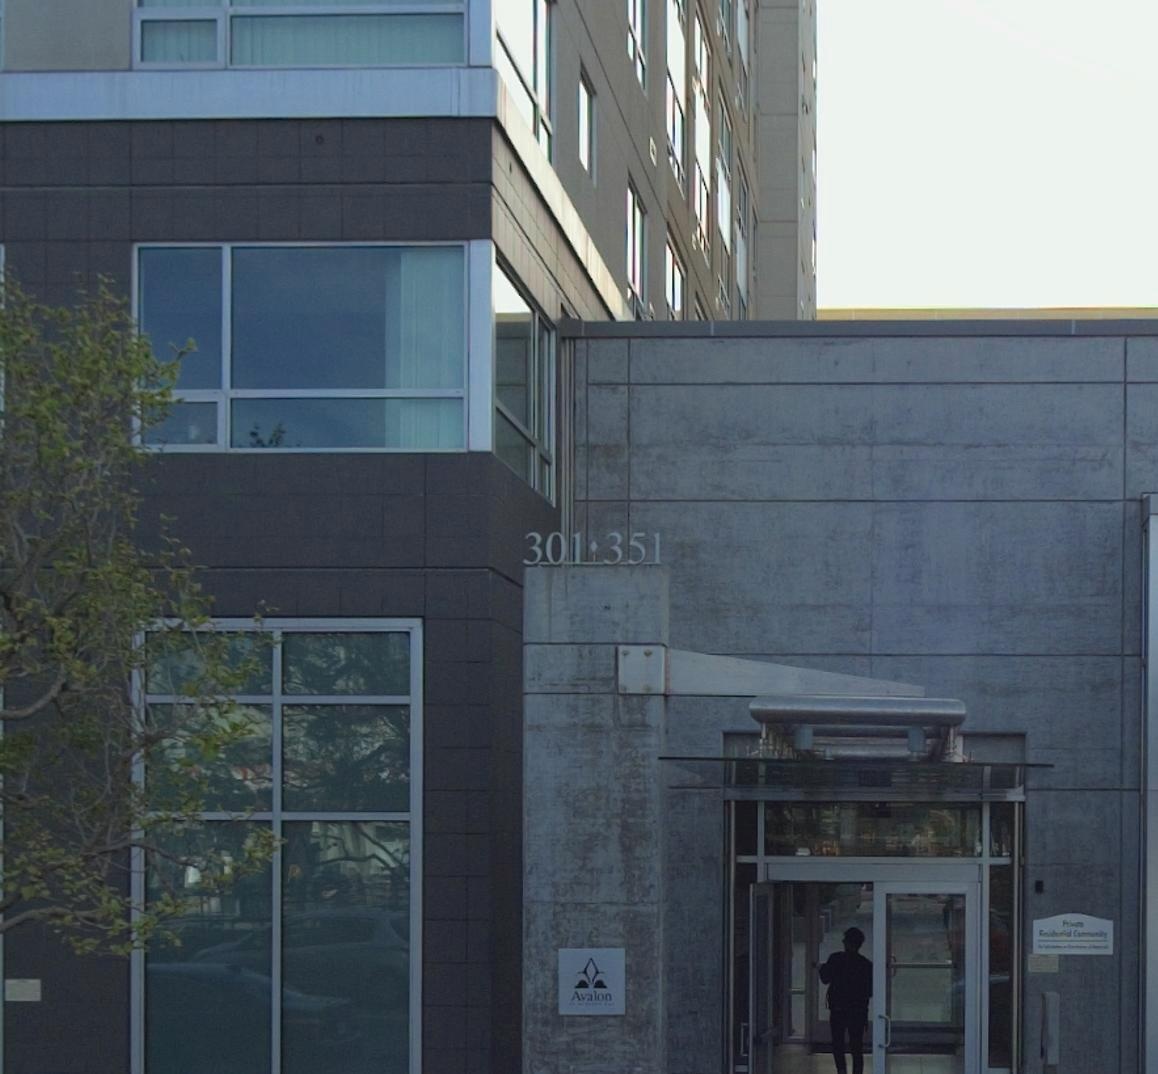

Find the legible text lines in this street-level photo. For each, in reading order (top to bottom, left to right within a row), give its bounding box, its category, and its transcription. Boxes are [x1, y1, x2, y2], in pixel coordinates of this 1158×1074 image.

[521, 529, 584, 568] StreetNumber: 301
[601, 529, 662, 567] StreetNumber: 351
[568, 987, 614, 1005] BusinessName: Avalon